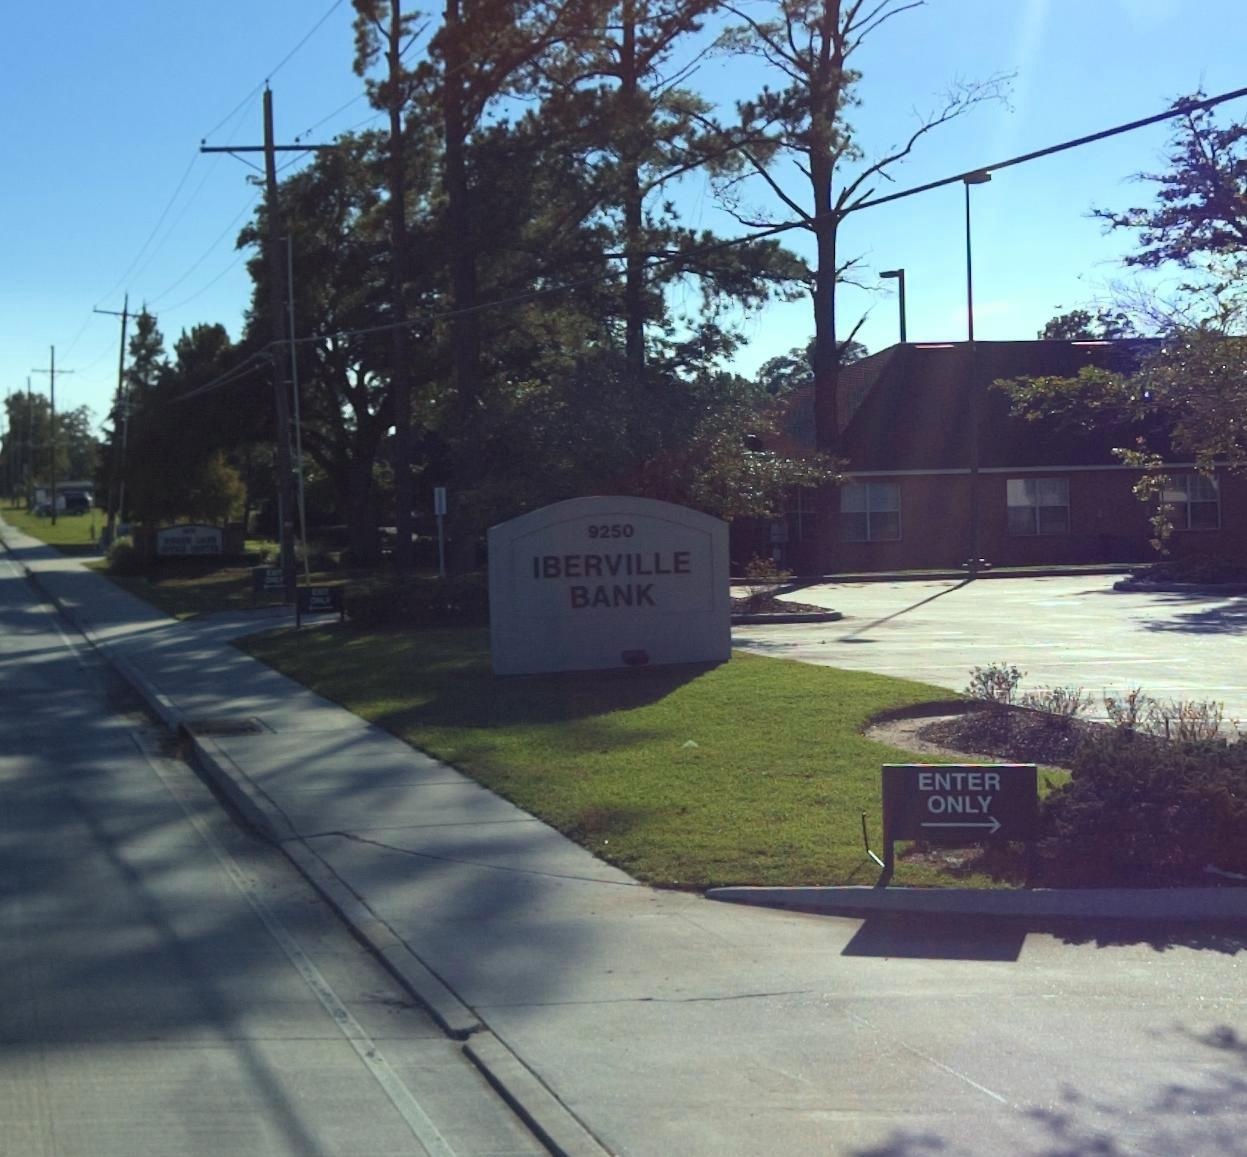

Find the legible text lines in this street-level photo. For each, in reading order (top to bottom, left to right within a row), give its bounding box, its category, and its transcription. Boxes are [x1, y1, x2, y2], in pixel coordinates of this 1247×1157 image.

[587, 523, 636, 540] StreetNumber: 9250
[532, 549, 692, 580] BusinessName: IBERVILLE
[309, 586, 332, 597] None: EXIT
[307, 595, 335, 606] None: ONLY
[569, 581, 659, 610] BusinessName: BANK
[917, 771, 1003, 792] None: ENTER
[926, 794, 996, 815] None: ONLY